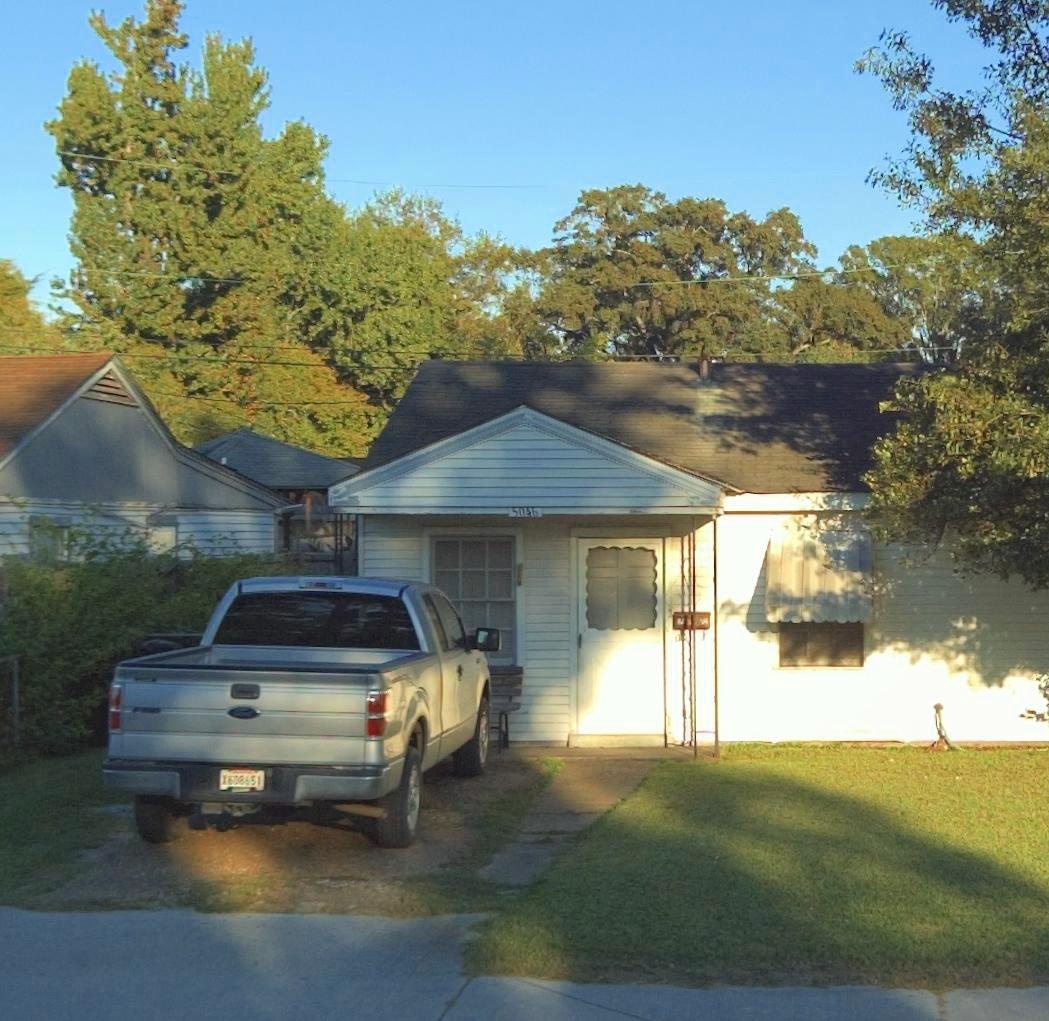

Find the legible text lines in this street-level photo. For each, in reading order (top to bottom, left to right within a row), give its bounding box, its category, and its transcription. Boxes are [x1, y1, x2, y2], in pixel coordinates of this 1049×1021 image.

[510, 506, 539, 517] StreetNumber: 5046
[131, 705, 163, 714] None: F150
[221, 775, 261, 786] None: X608651